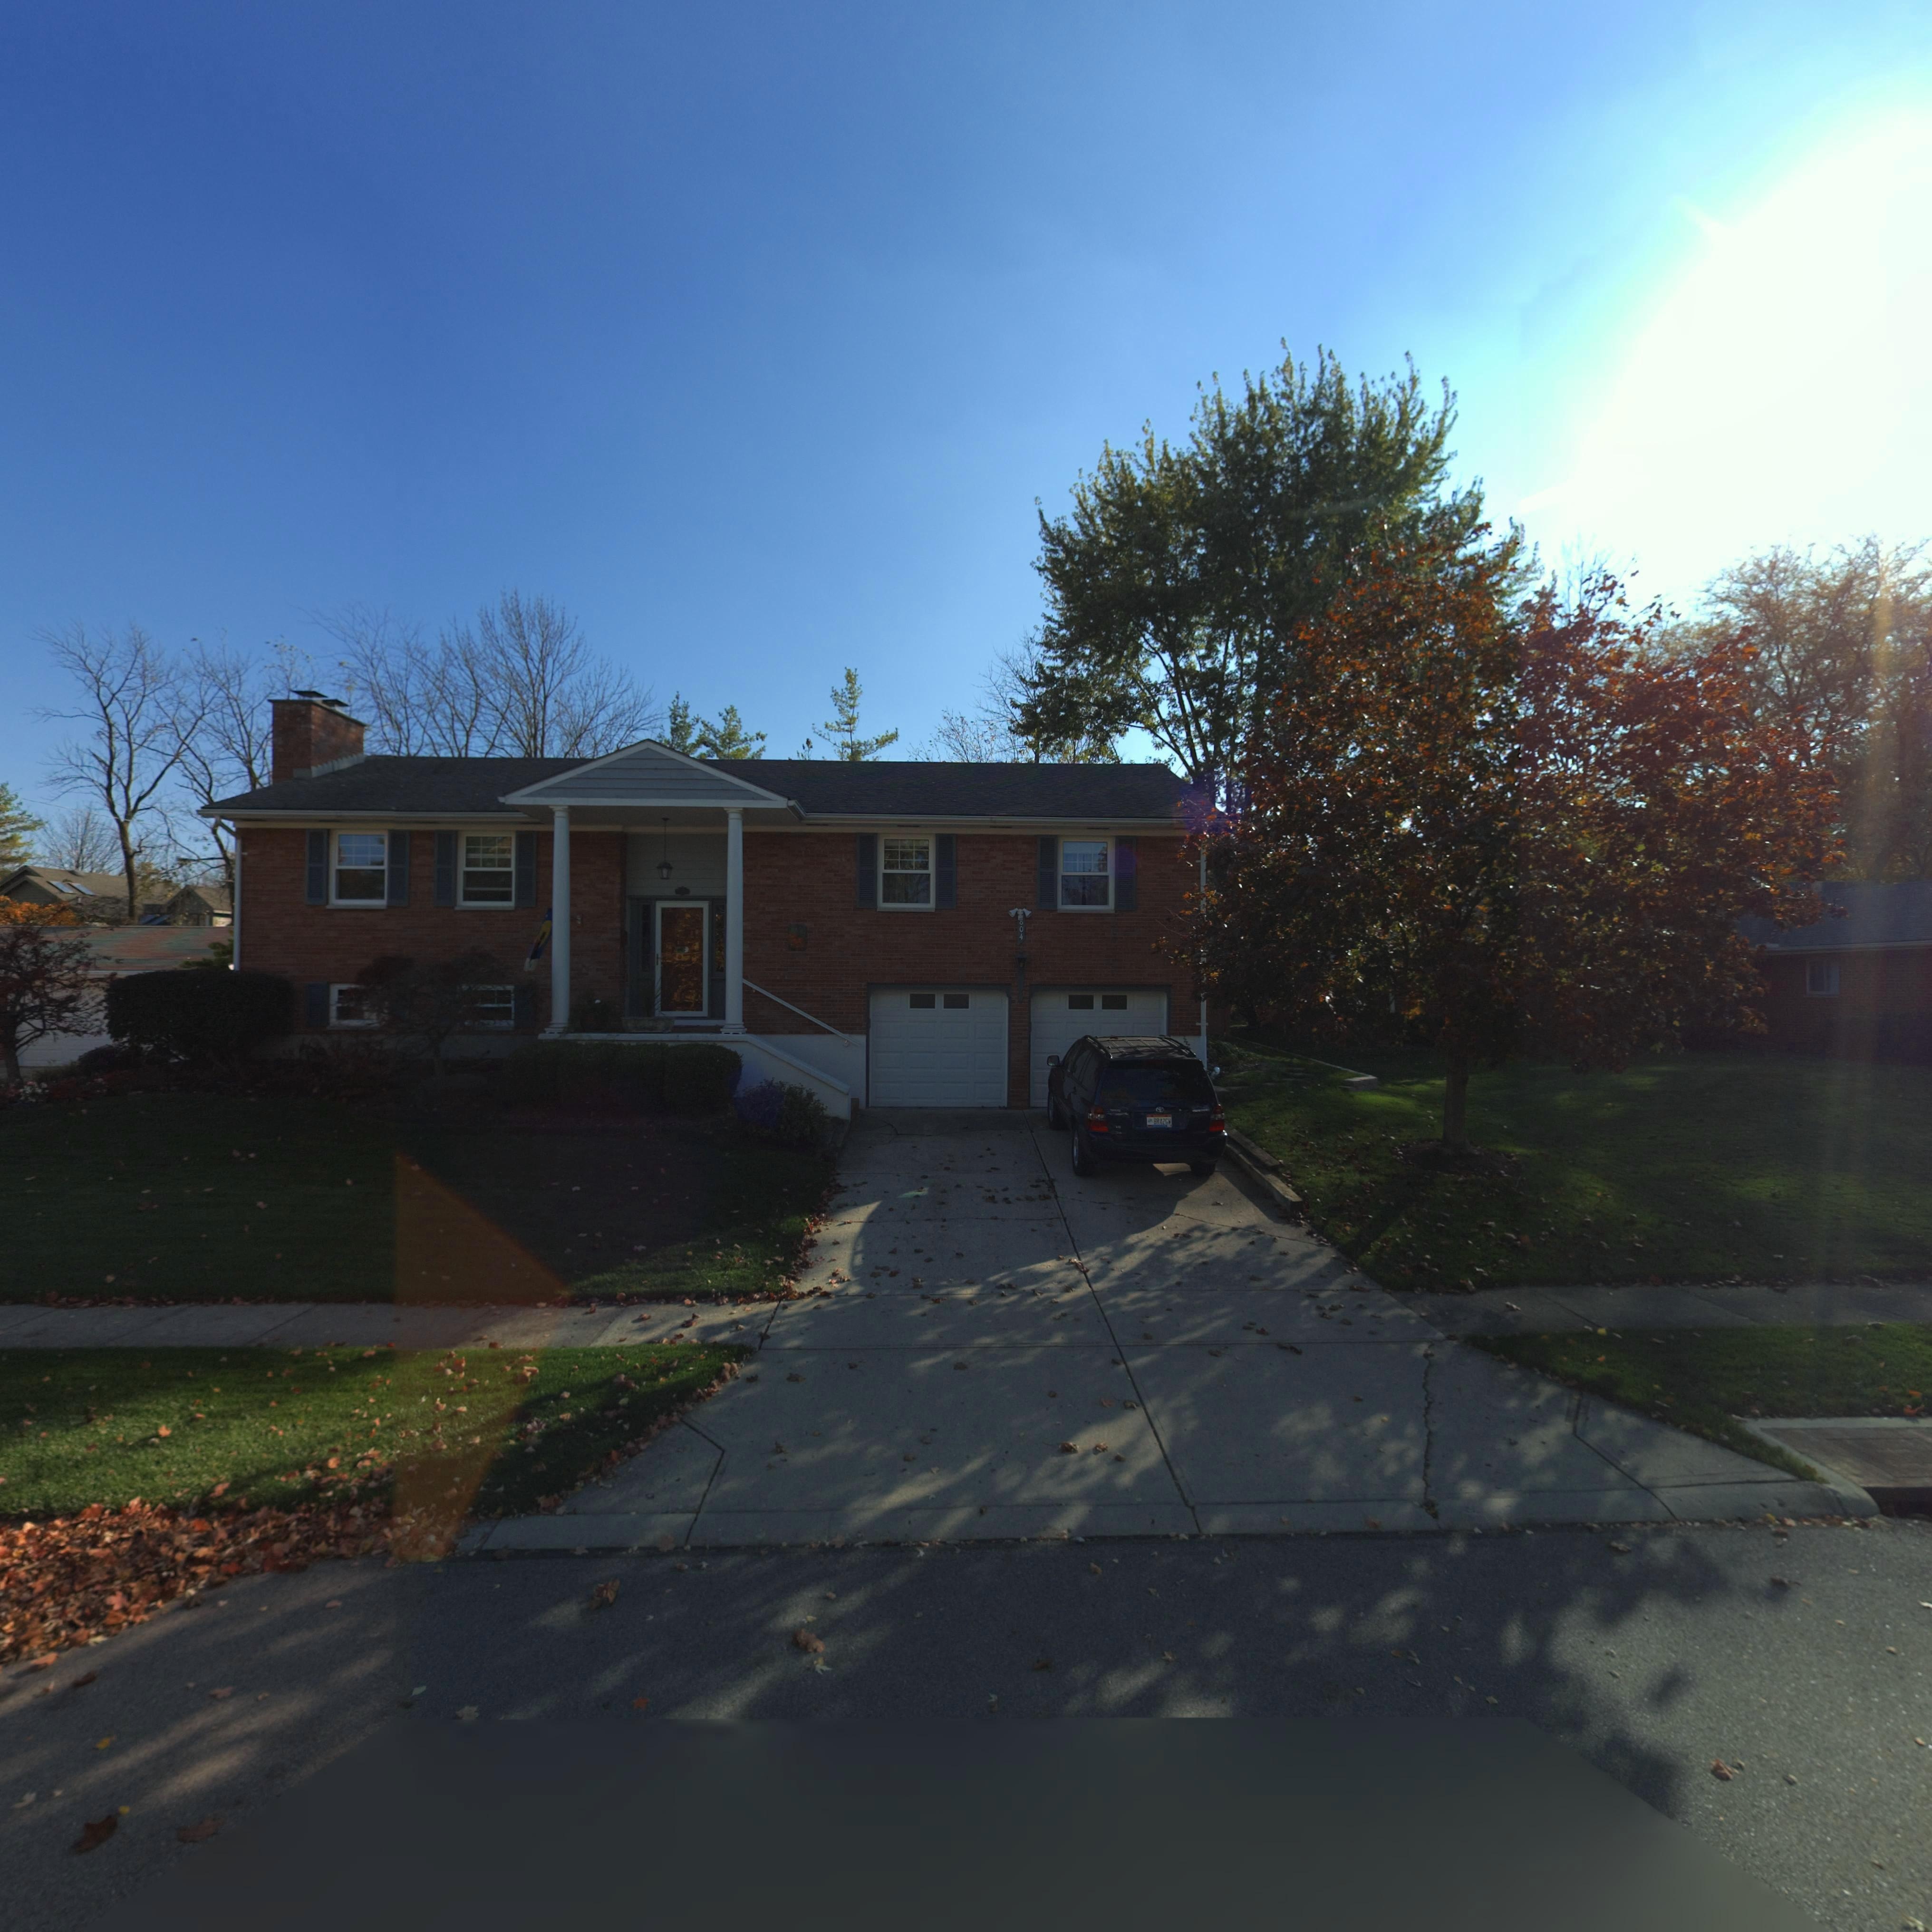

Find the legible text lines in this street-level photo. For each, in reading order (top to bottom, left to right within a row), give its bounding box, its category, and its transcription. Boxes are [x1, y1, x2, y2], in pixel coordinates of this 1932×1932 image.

[1018, 919, 1024, 941] StreetNumber: *04